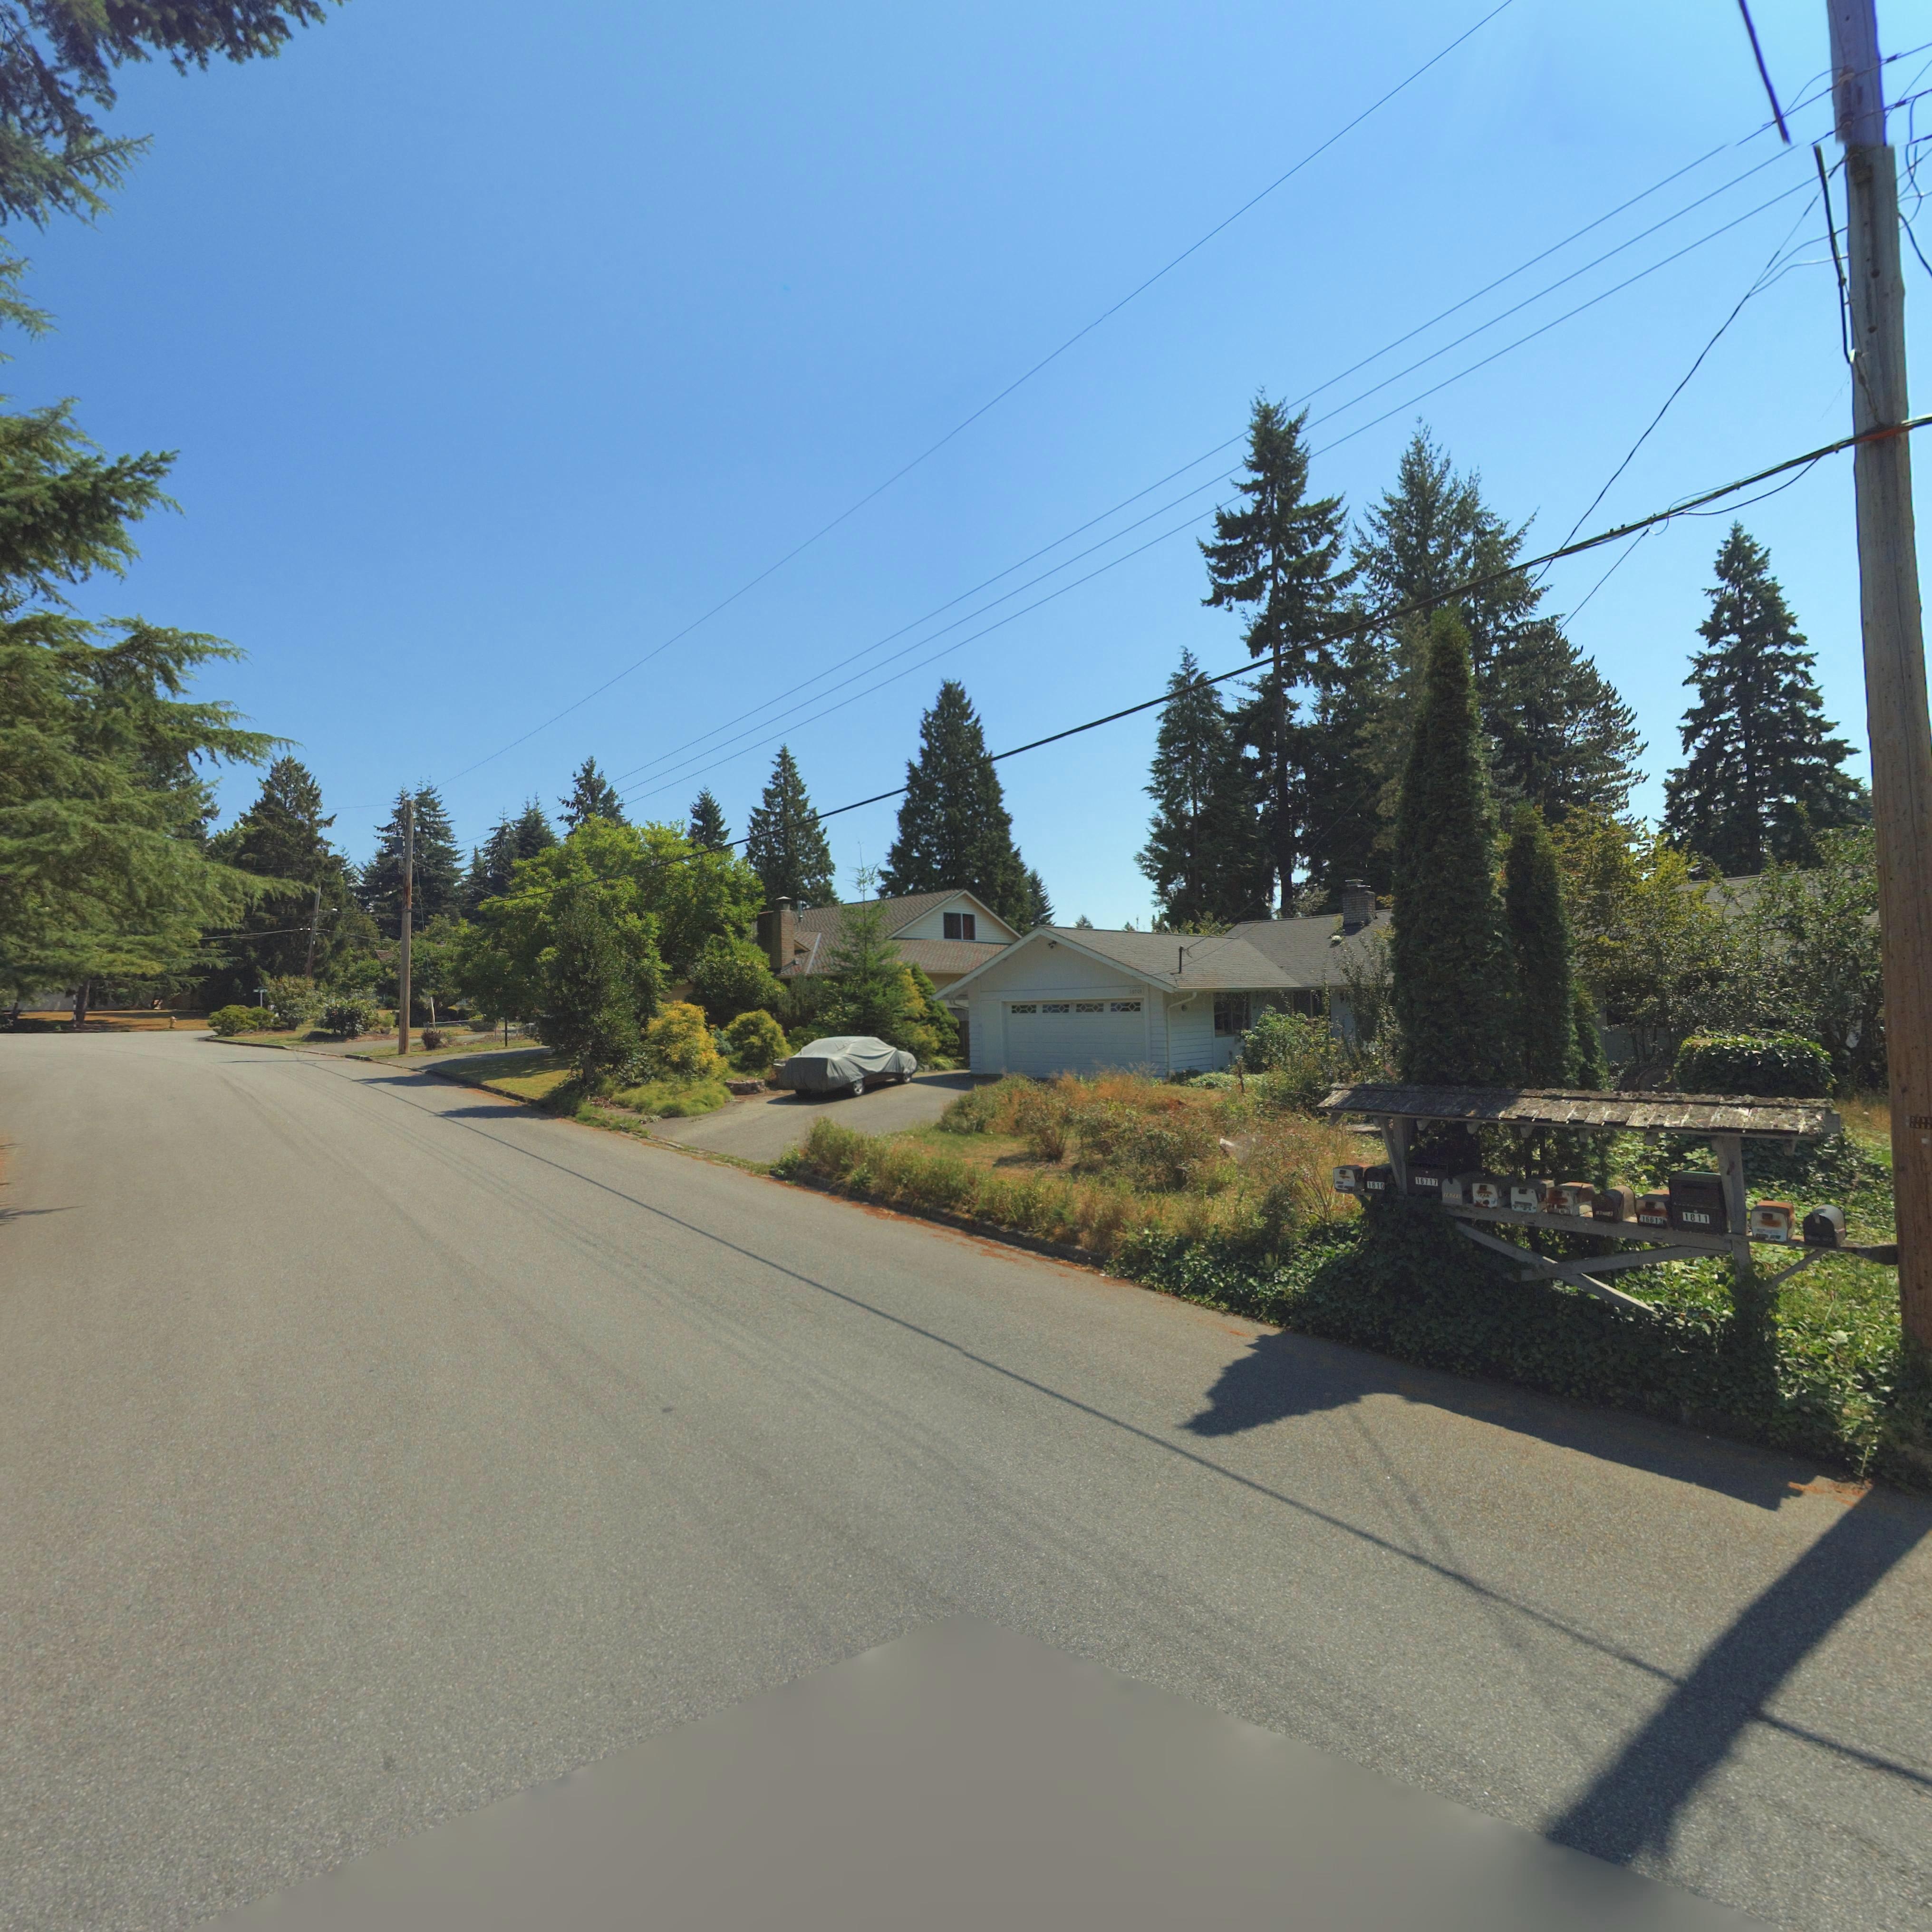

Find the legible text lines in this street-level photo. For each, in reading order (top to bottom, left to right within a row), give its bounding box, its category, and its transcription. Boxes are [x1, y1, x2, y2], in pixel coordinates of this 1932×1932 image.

[1129, 989, 1142, 994] StreetNumber: 15703
[1367, 1181, 1384, 1189] StreetNumber: 1810
[1416, 1177, 1437, 1185] StreetNumber: 18717
[1642, 1215, 1662, 1224] StreetNumber: 16613
[1684, 1212, 1708, 1223] StreetNumber: 1811